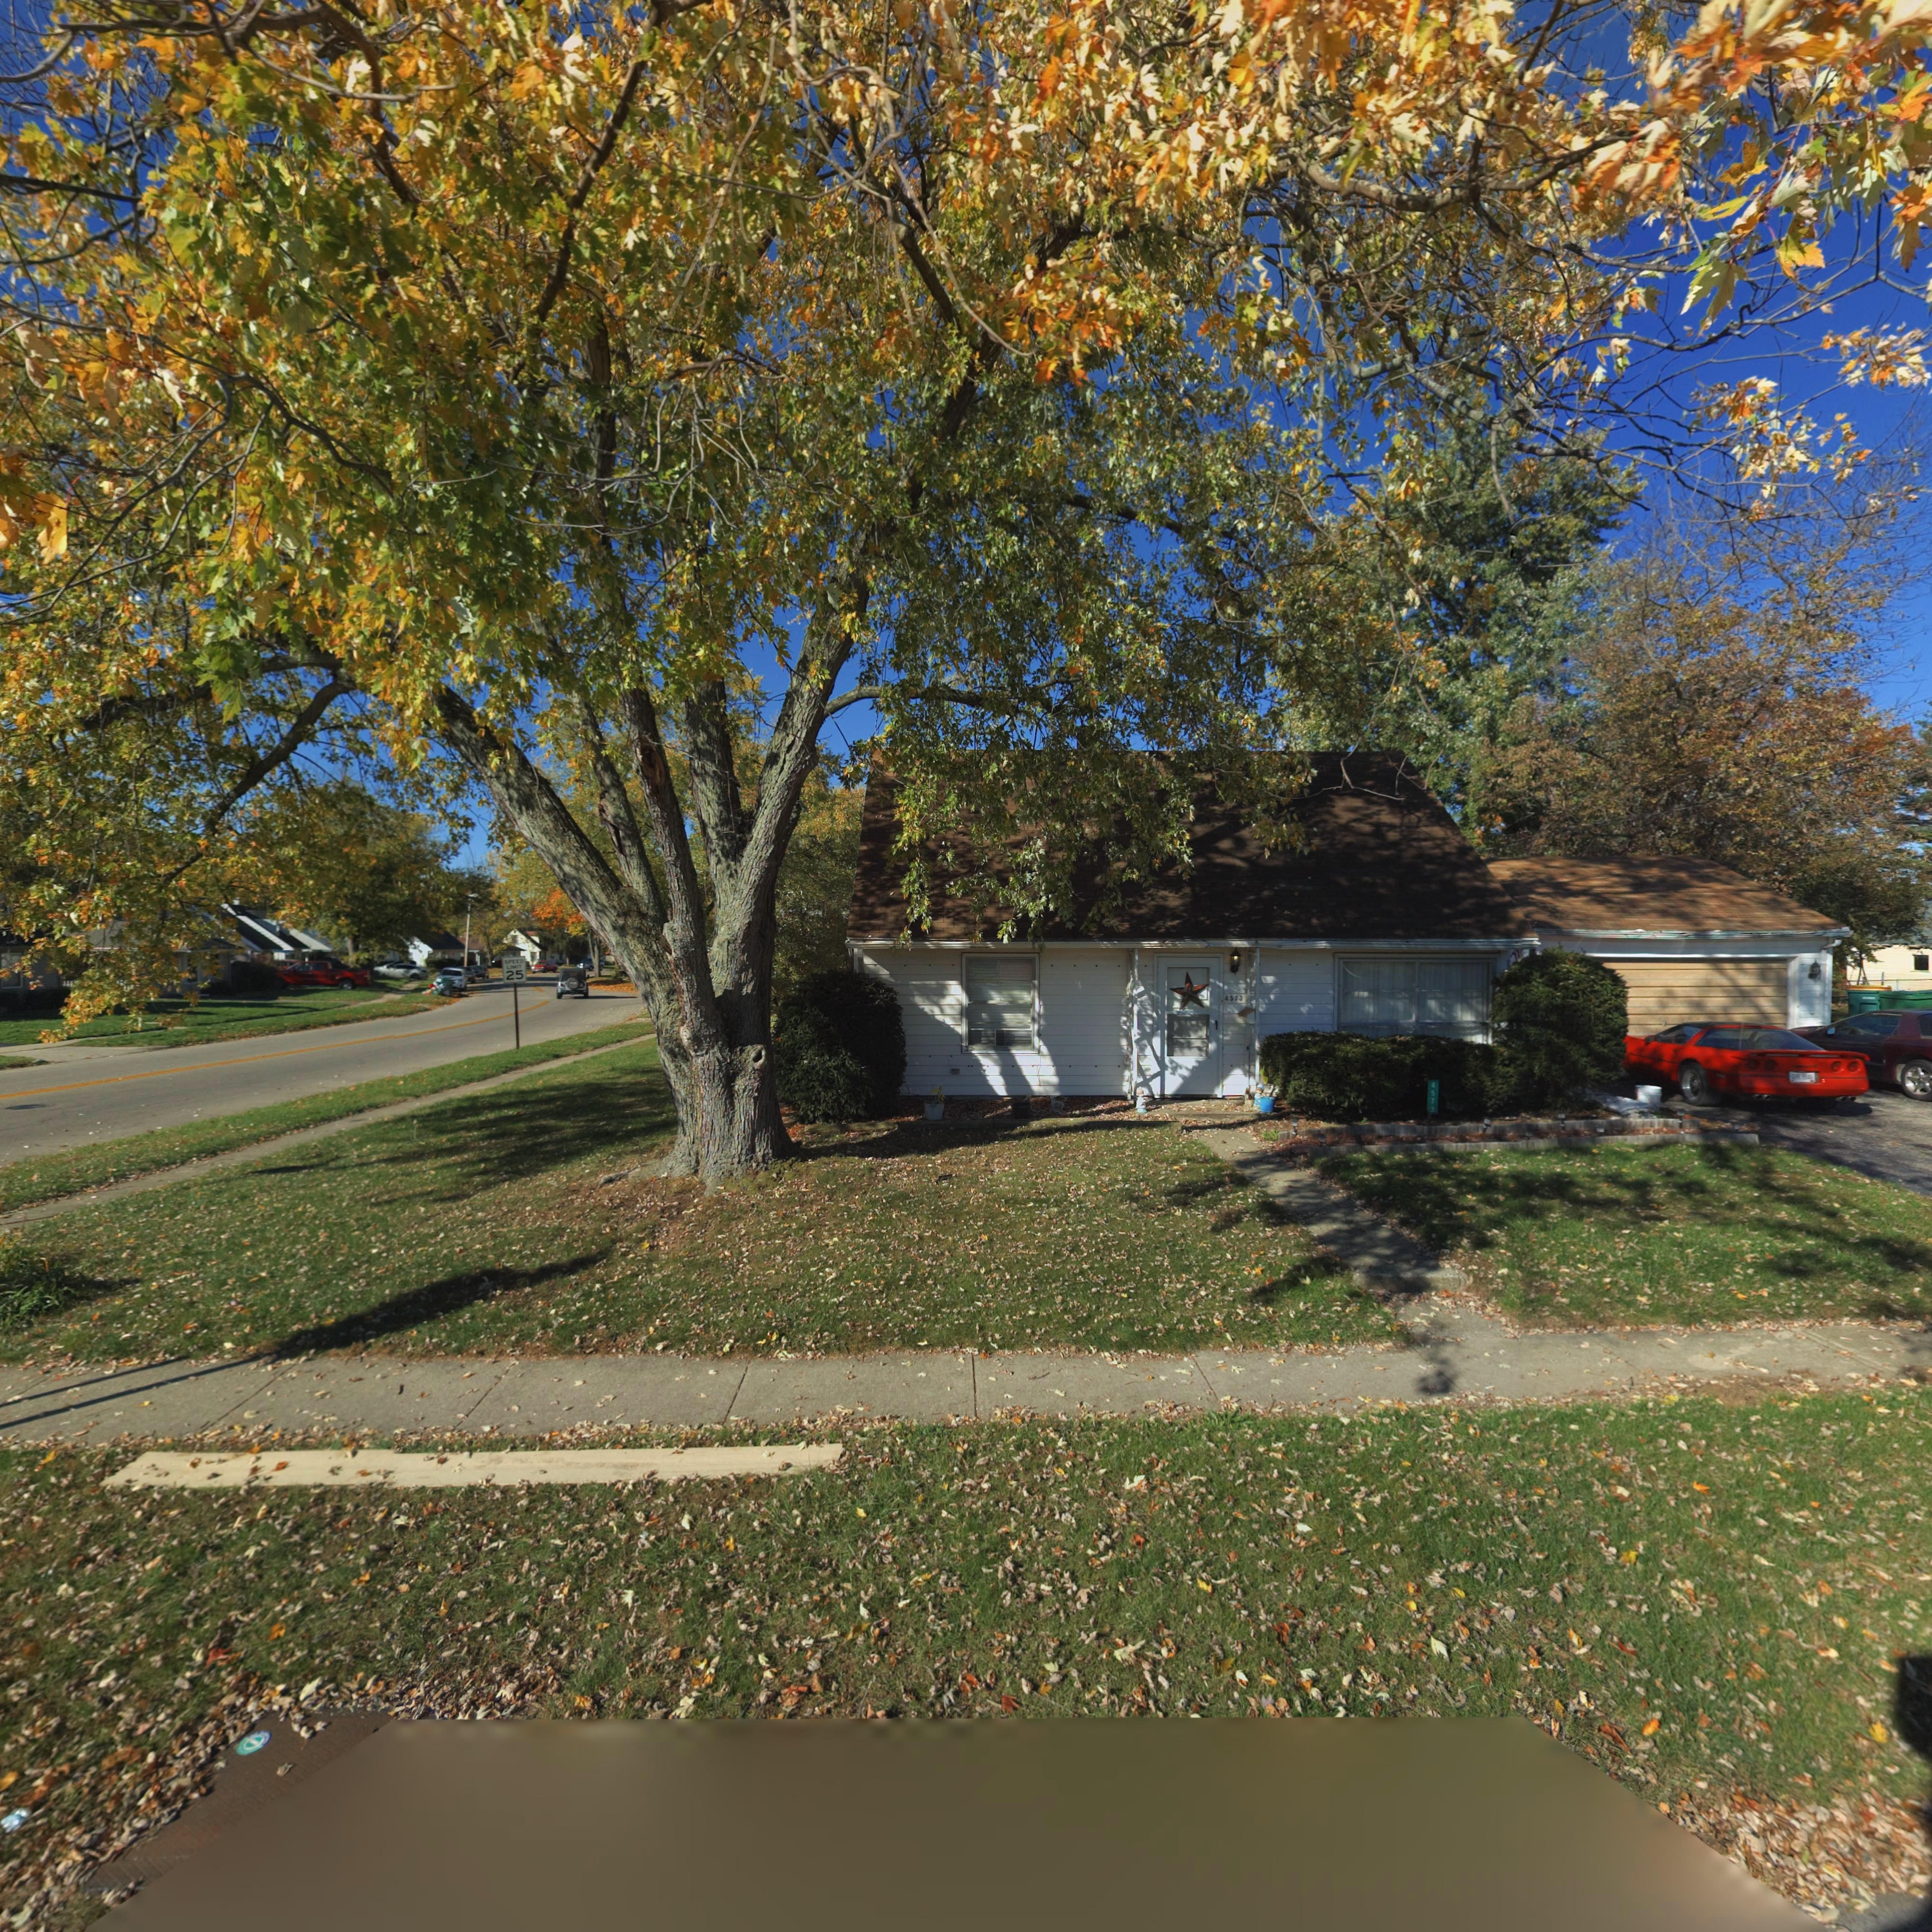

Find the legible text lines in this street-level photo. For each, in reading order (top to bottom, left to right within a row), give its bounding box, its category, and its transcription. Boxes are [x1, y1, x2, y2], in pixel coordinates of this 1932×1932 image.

[1224, 995, 1243, 1002] StreetNumber: 4573
[1429, 1082, 1436, 1113] StreetNumber: 4573